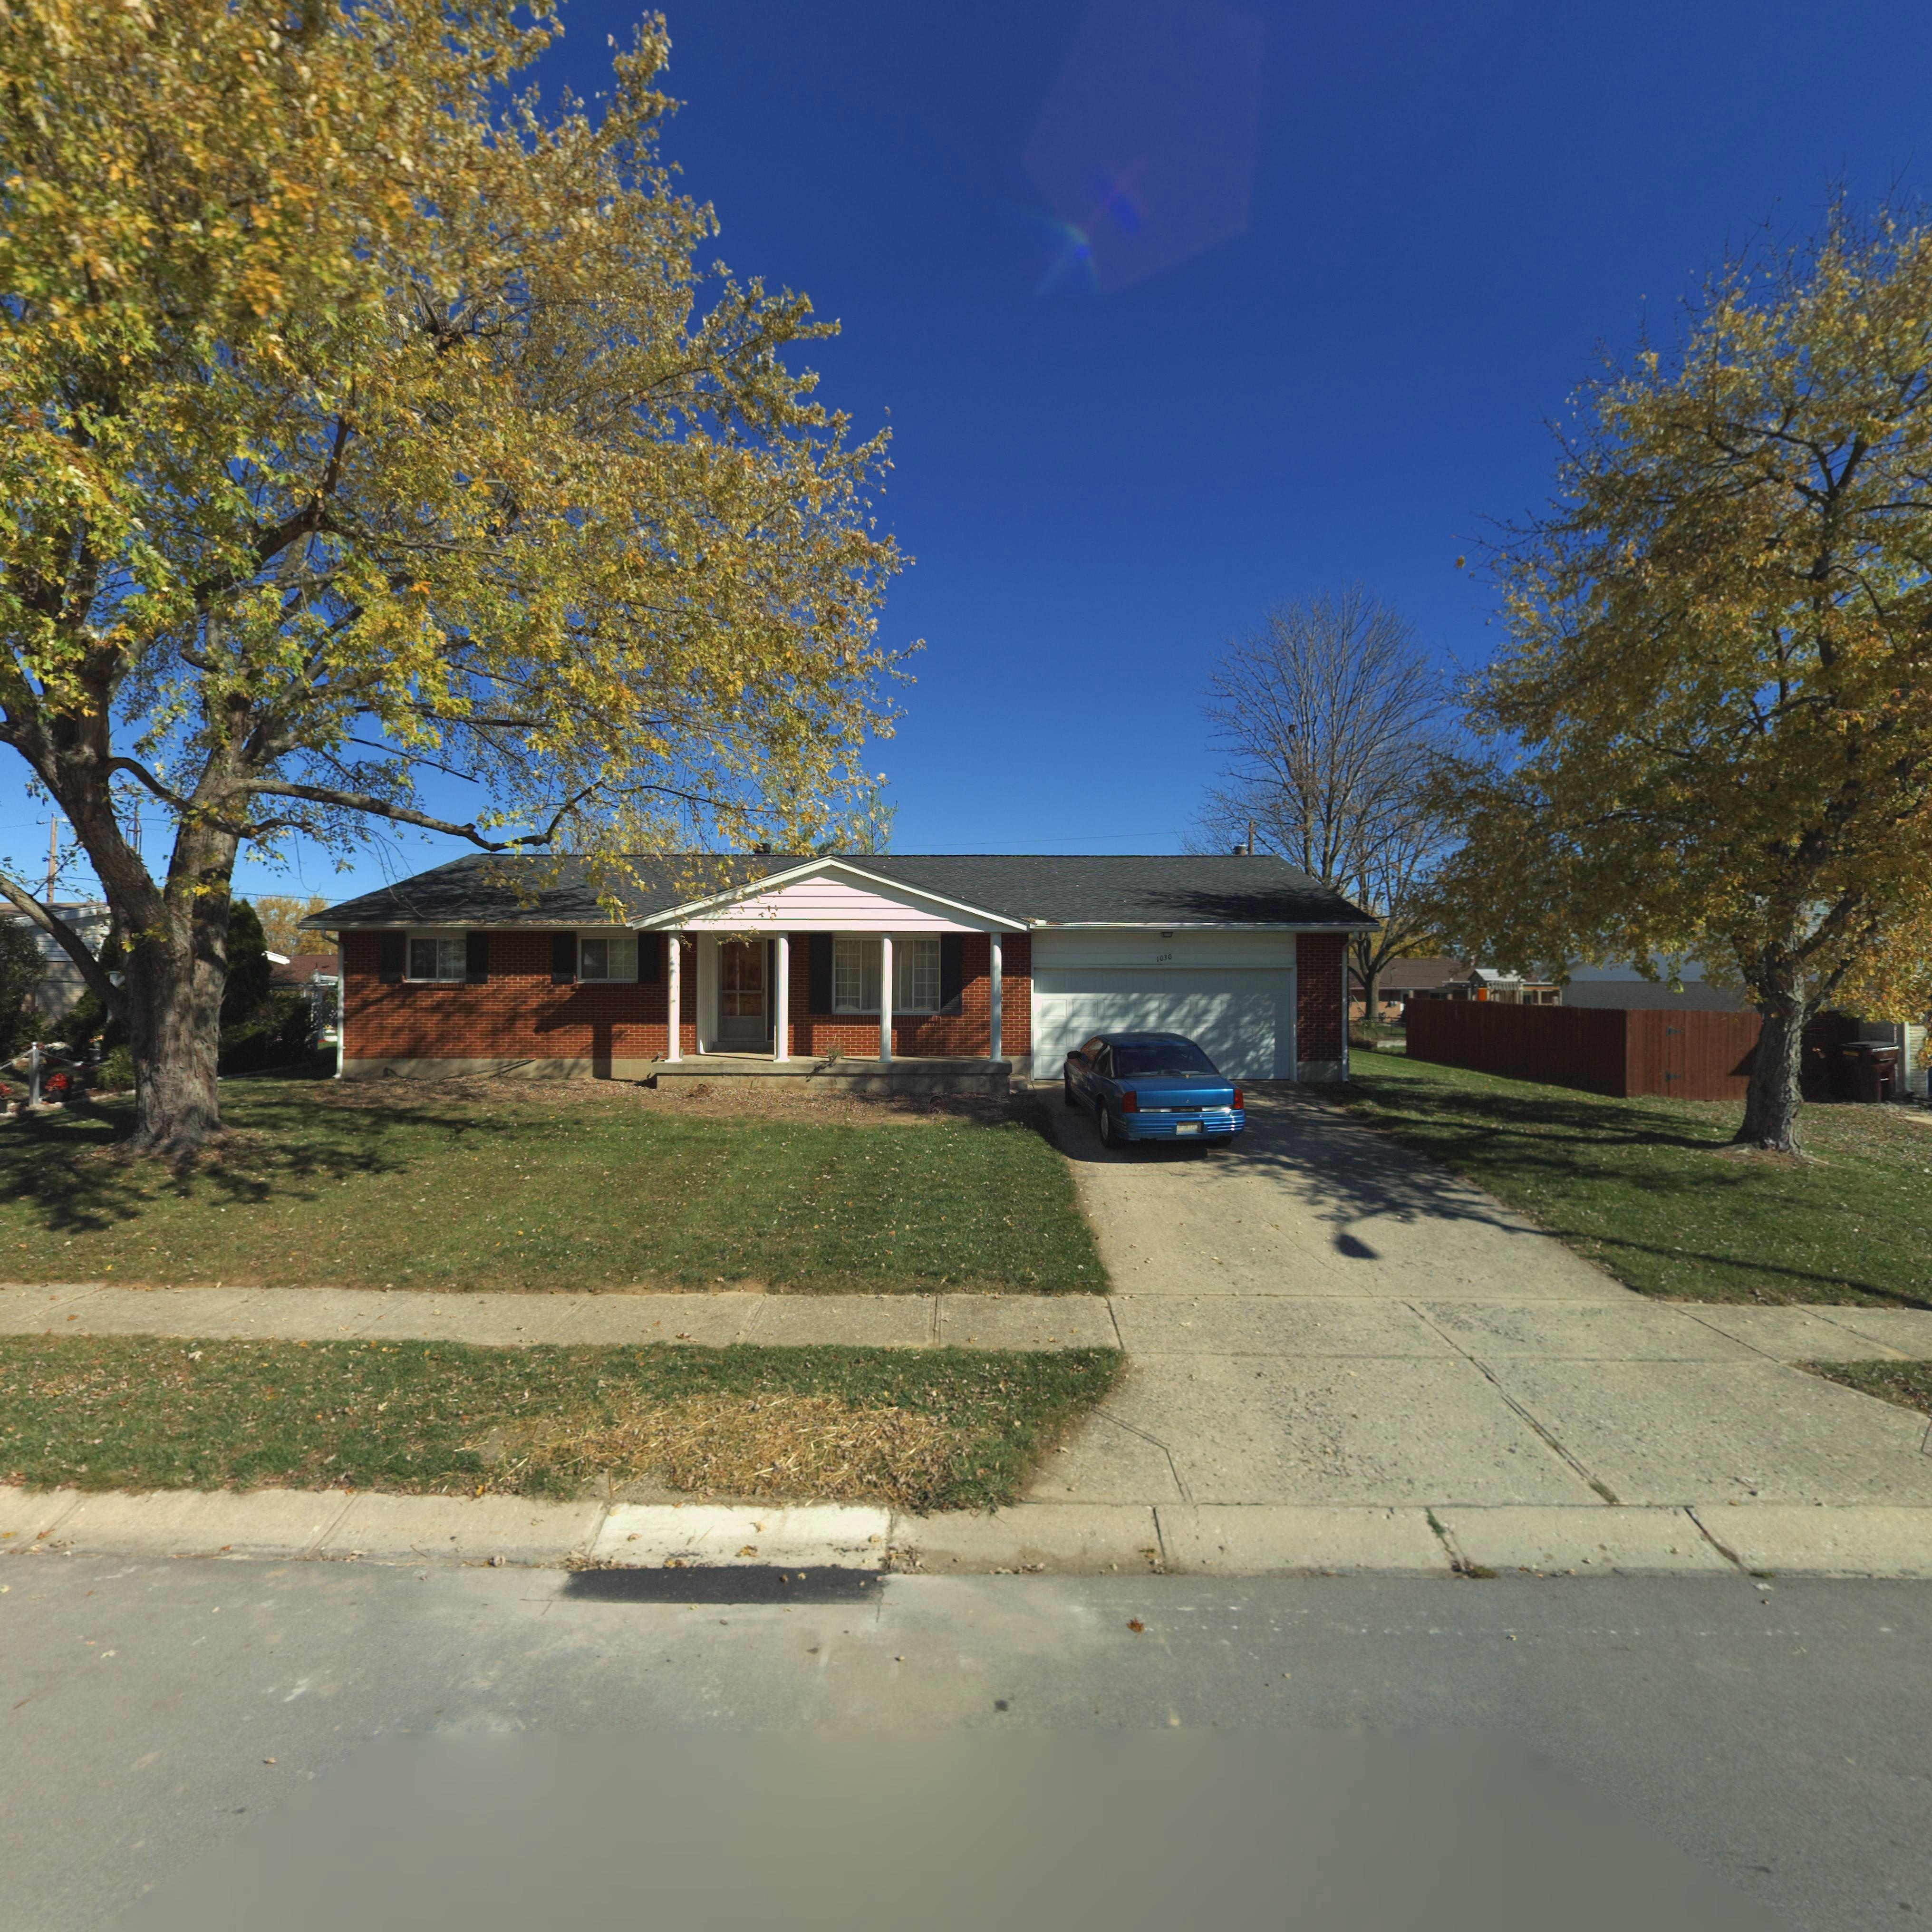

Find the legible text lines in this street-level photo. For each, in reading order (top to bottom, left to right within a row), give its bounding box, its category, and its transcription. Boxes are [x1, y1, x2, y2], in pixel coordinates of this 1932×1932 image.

[1155, 953, 1173, 964] StreetNumber: 1030